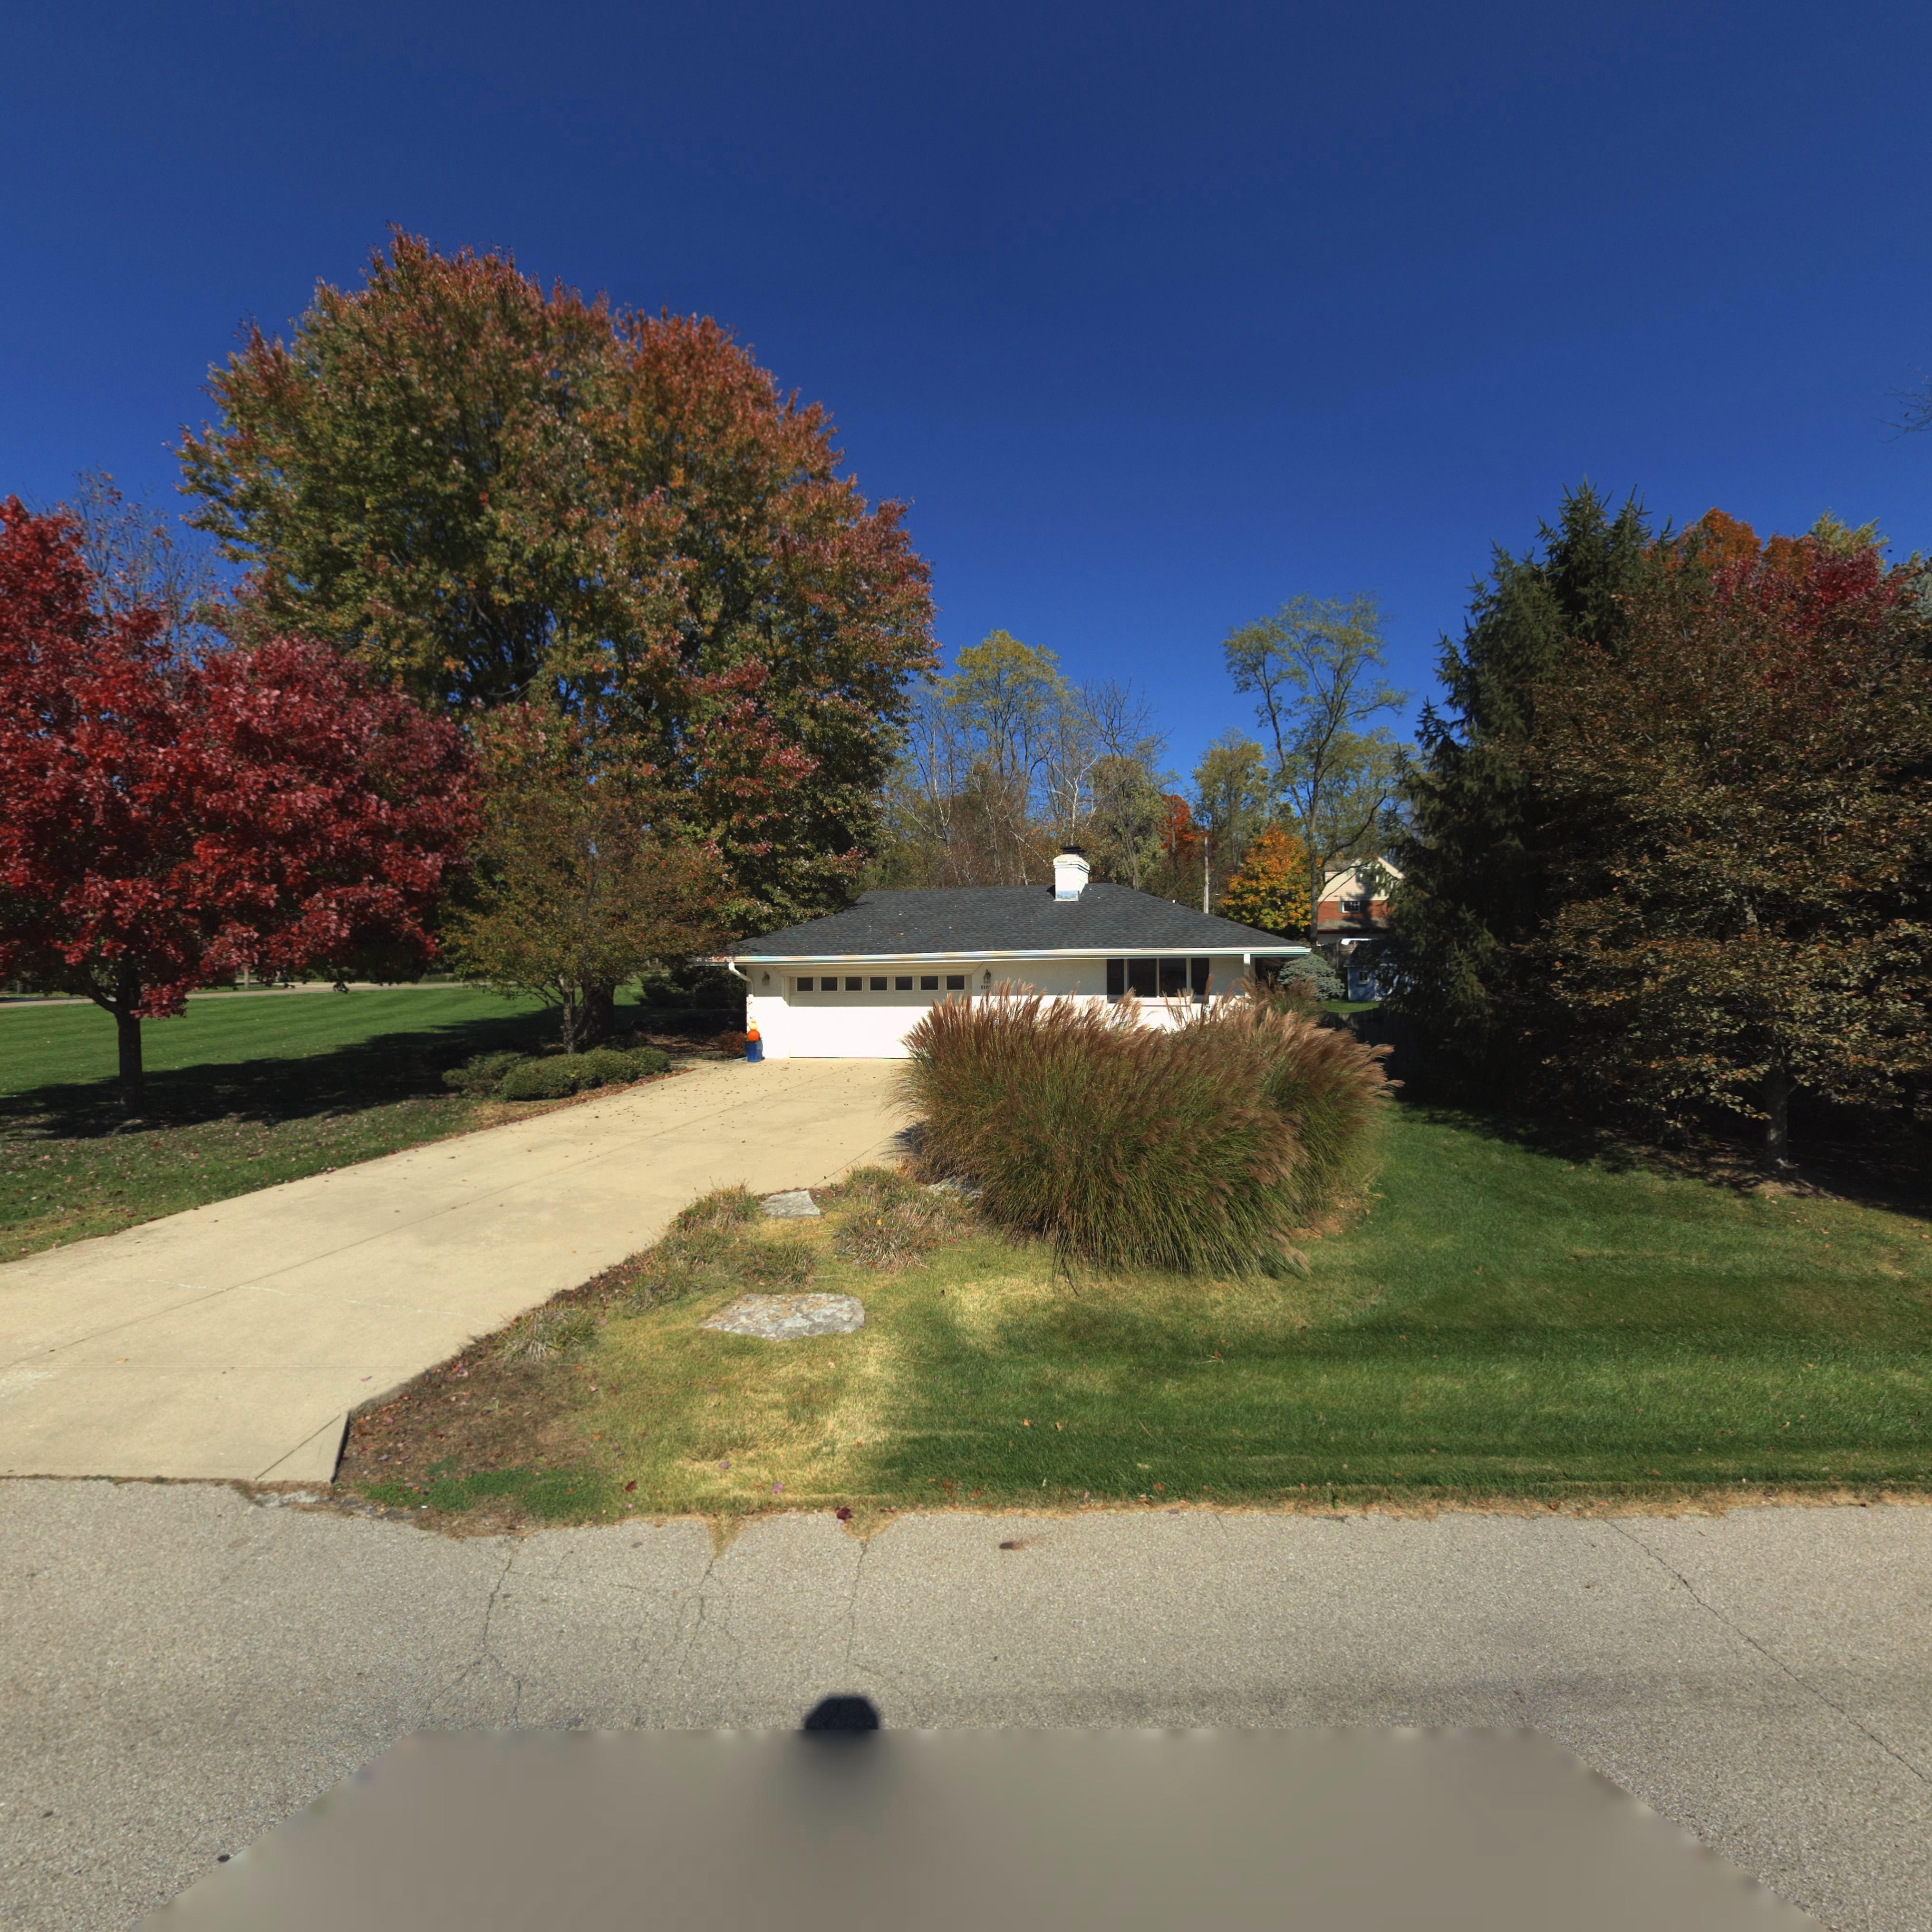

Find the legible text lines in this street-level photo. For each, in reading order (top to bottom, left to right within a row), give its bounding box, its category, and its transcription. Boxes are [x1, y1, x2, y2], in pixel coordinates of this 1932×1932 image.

[980, 984, 986, 990] StreetNumber: 51